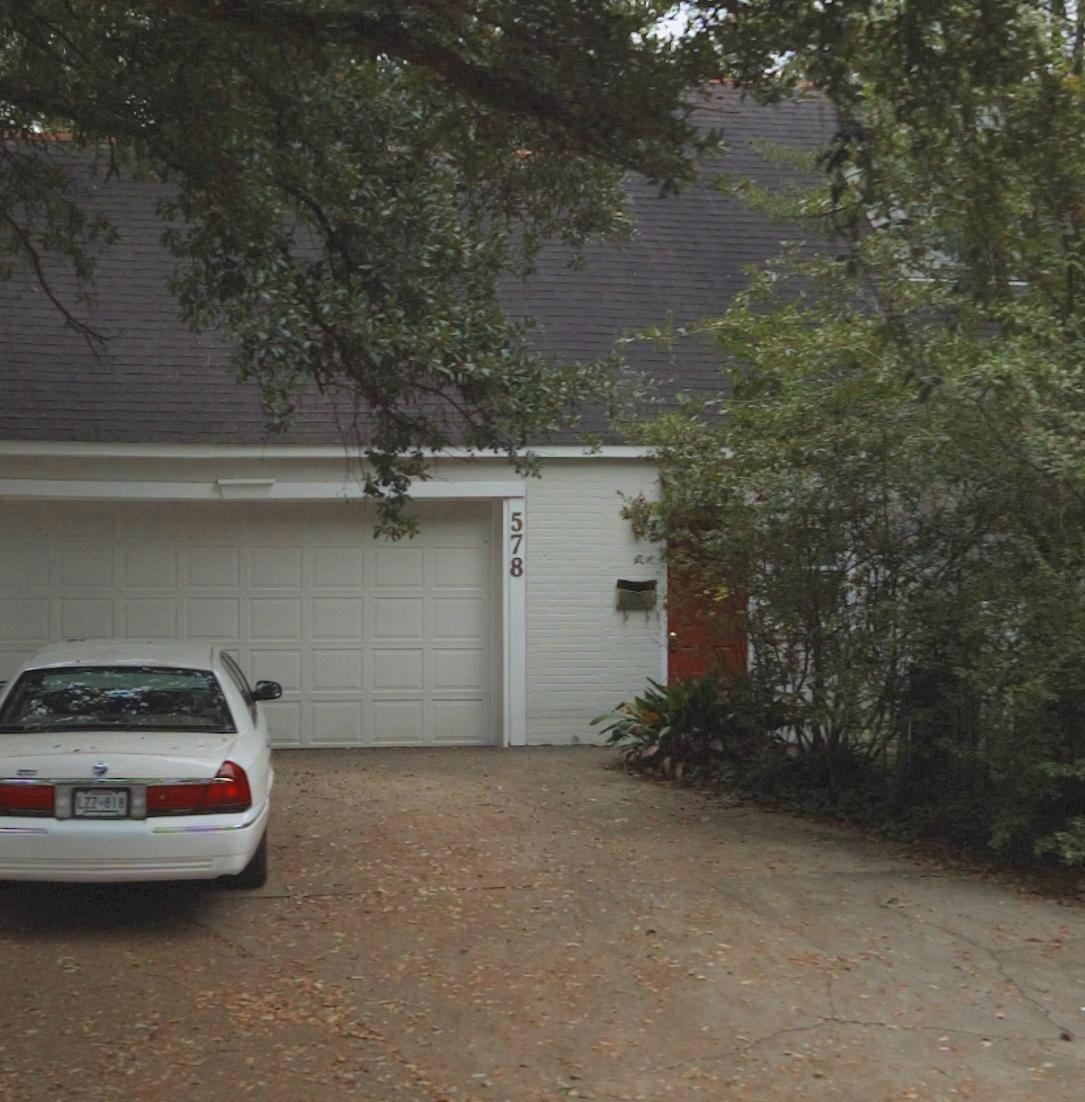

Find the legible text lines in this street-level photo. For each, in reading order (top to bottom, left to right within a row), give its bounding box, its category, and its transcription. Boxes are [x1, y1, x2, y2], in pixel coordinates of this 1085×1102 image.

[510, 511, 524, 578] StreetNumber: 578
[76, 796, 126, 809] None: LZZ 4818